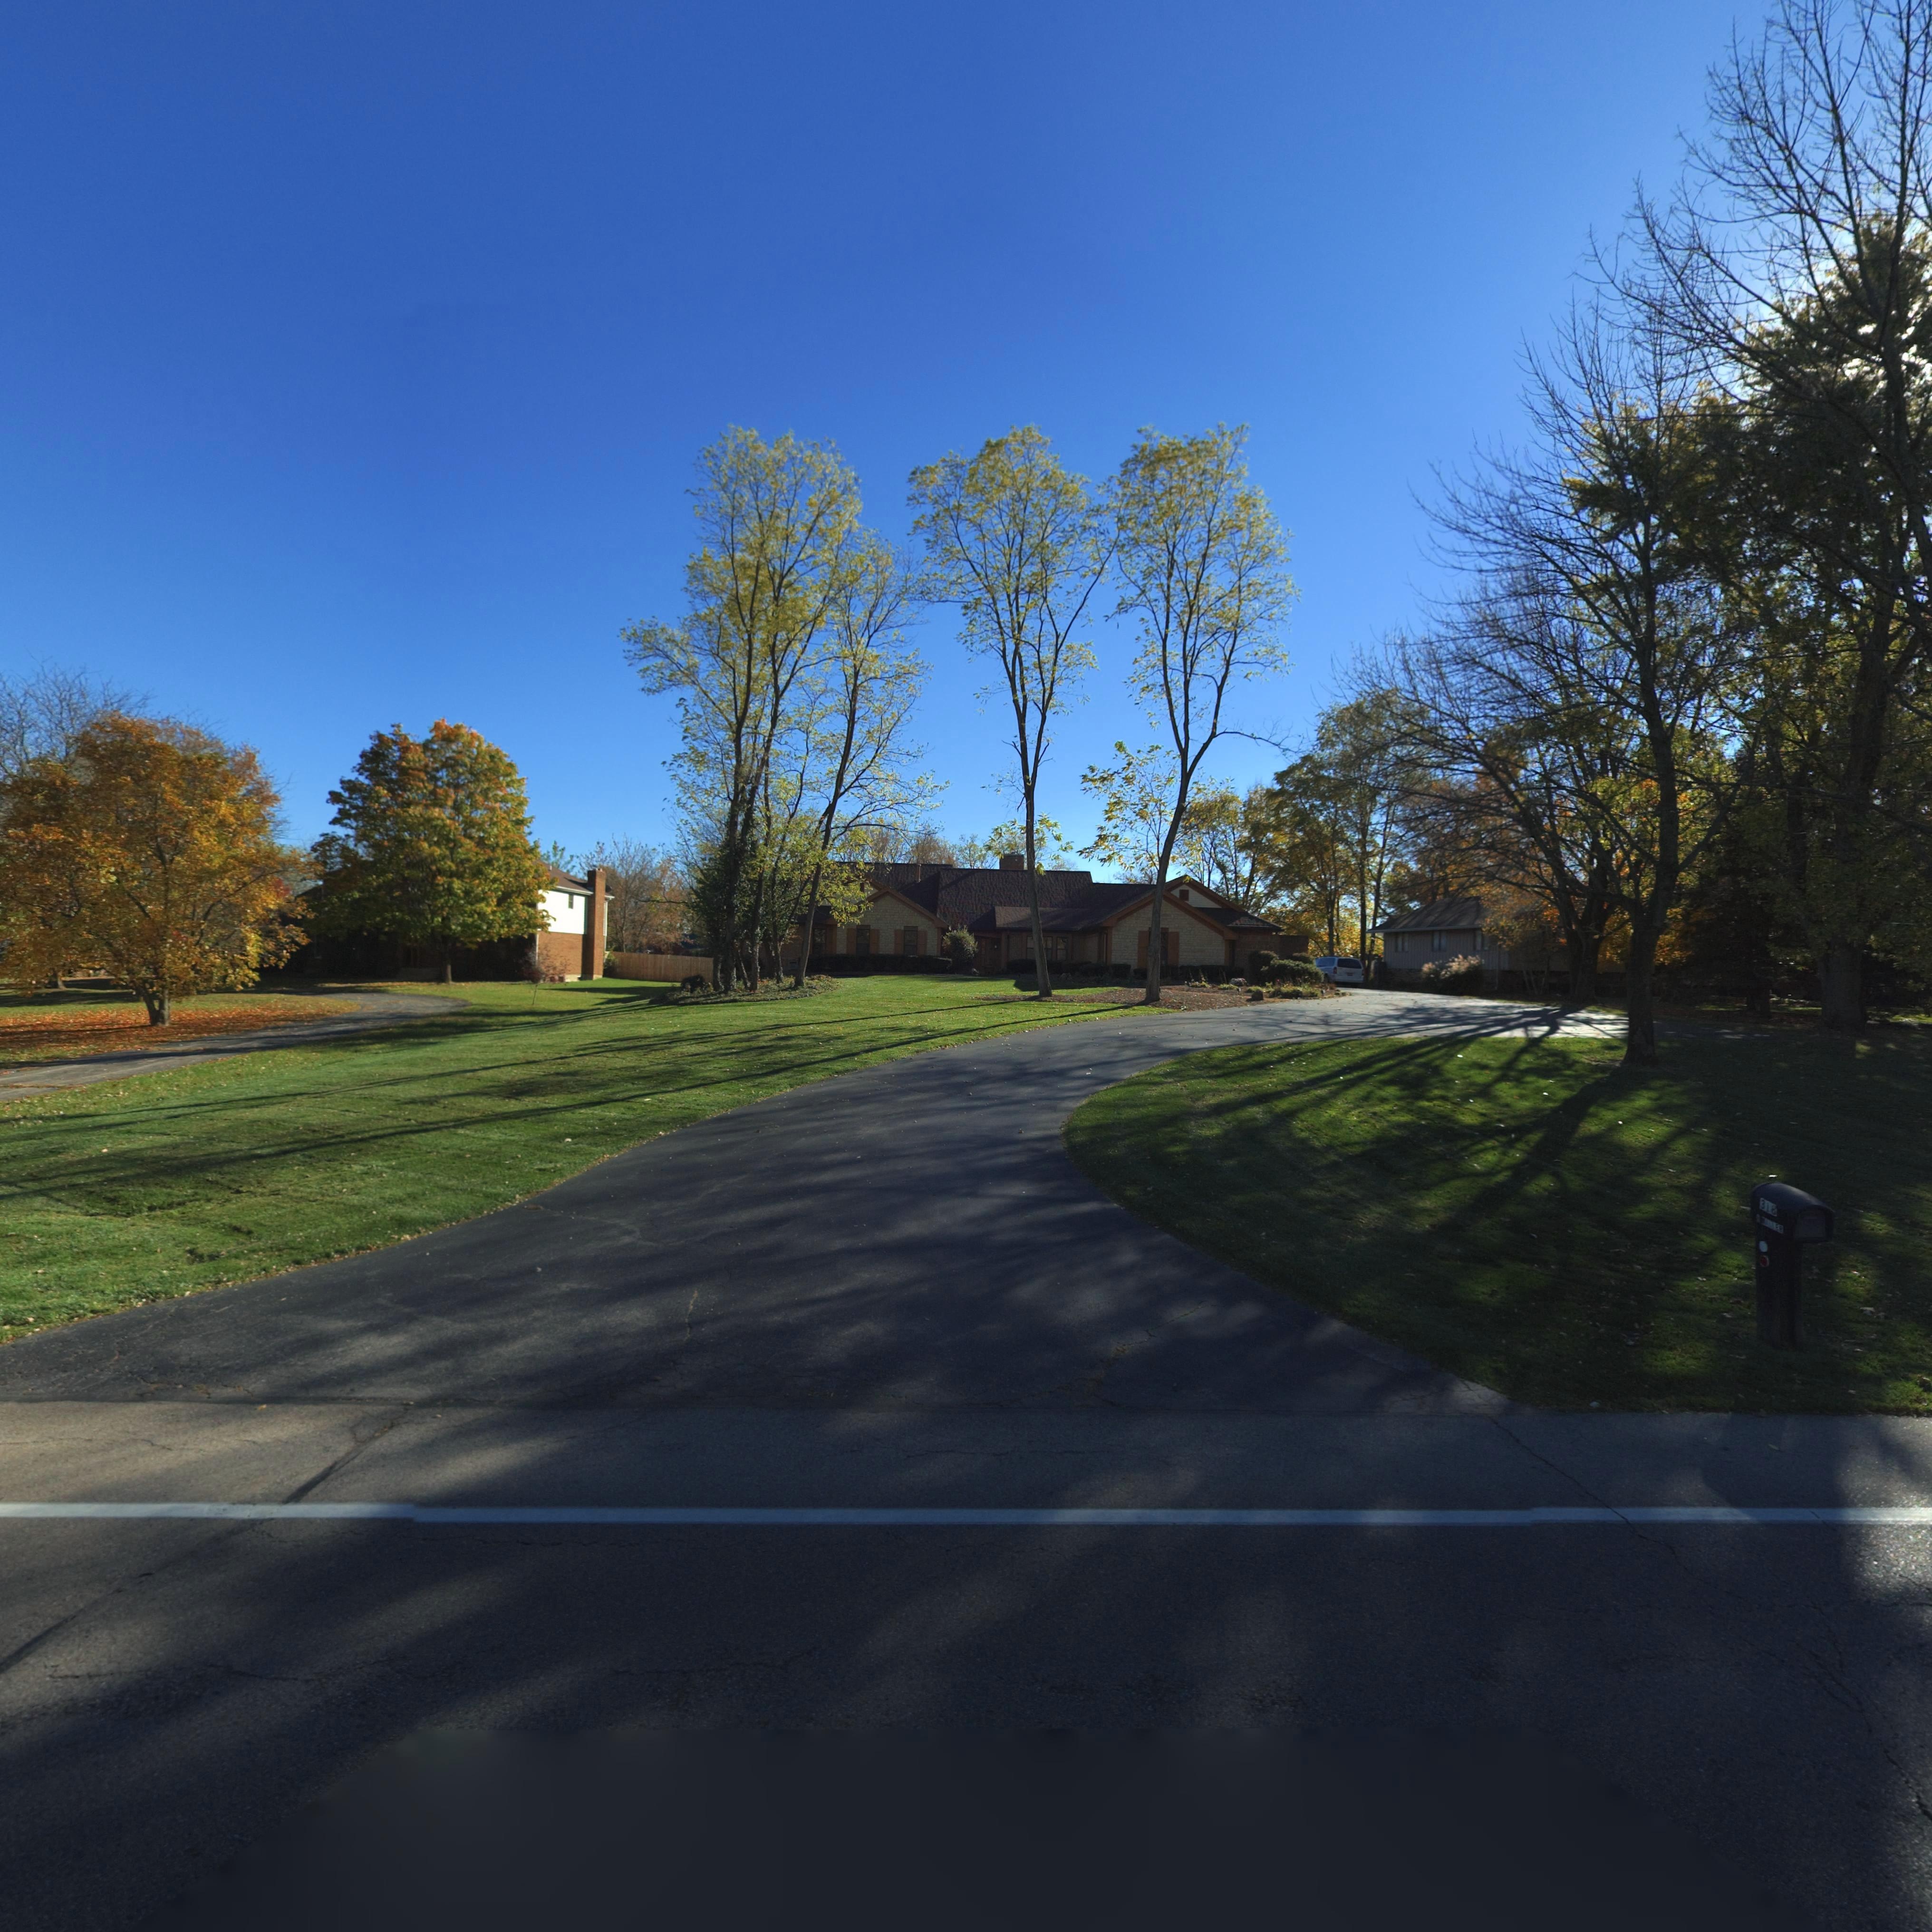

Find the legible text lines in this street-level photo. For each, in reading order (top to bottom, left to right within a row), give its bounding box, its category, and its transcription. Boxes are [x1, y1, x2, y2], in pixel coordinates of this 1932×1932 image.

[1759, 1198, 1777, 1216] StreetNumber: 318